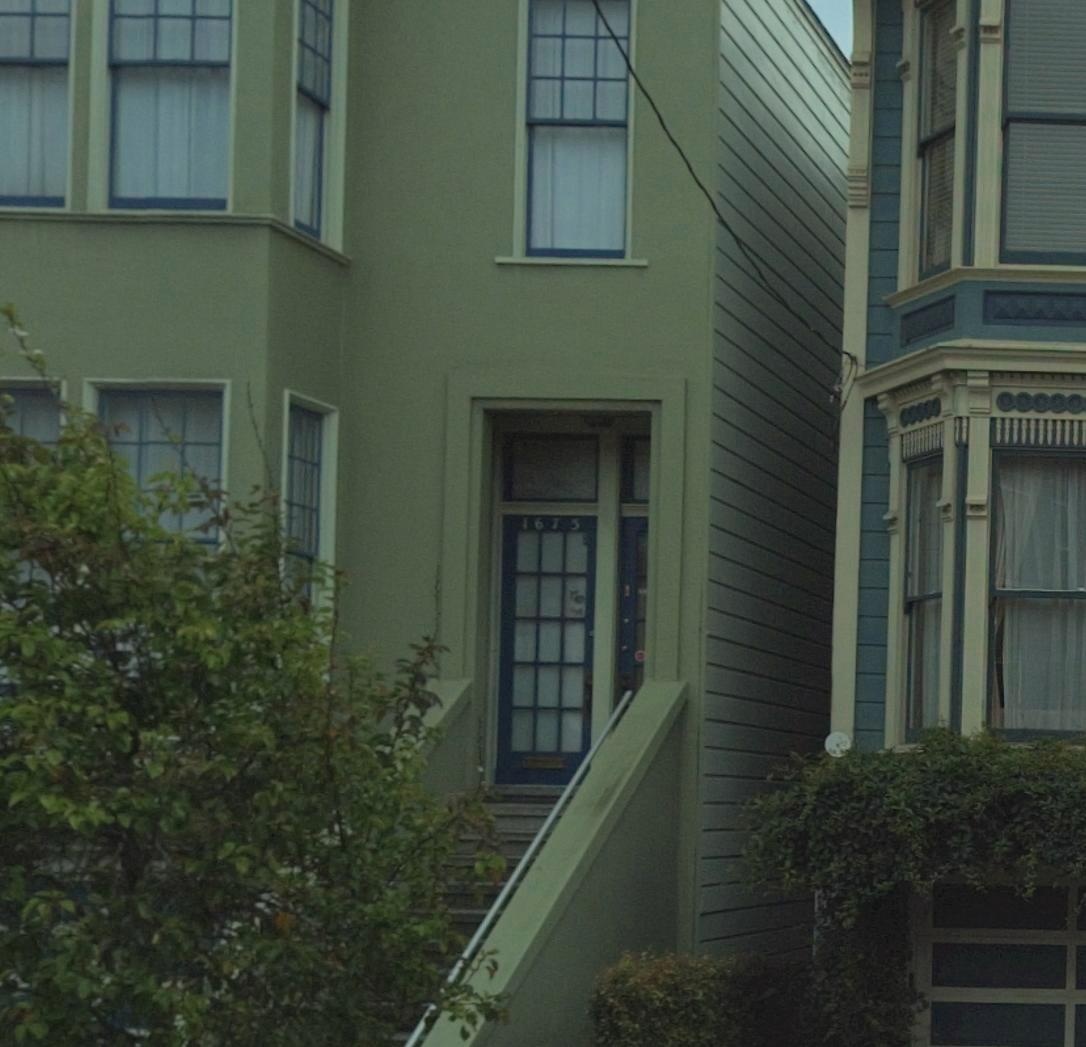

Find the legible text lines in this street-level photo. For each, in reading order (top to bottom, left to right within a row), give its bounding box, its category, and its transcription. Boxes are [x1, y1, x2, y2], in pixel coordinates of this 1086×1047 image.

[519, 513, 582, 532] StreetNumber: 1675